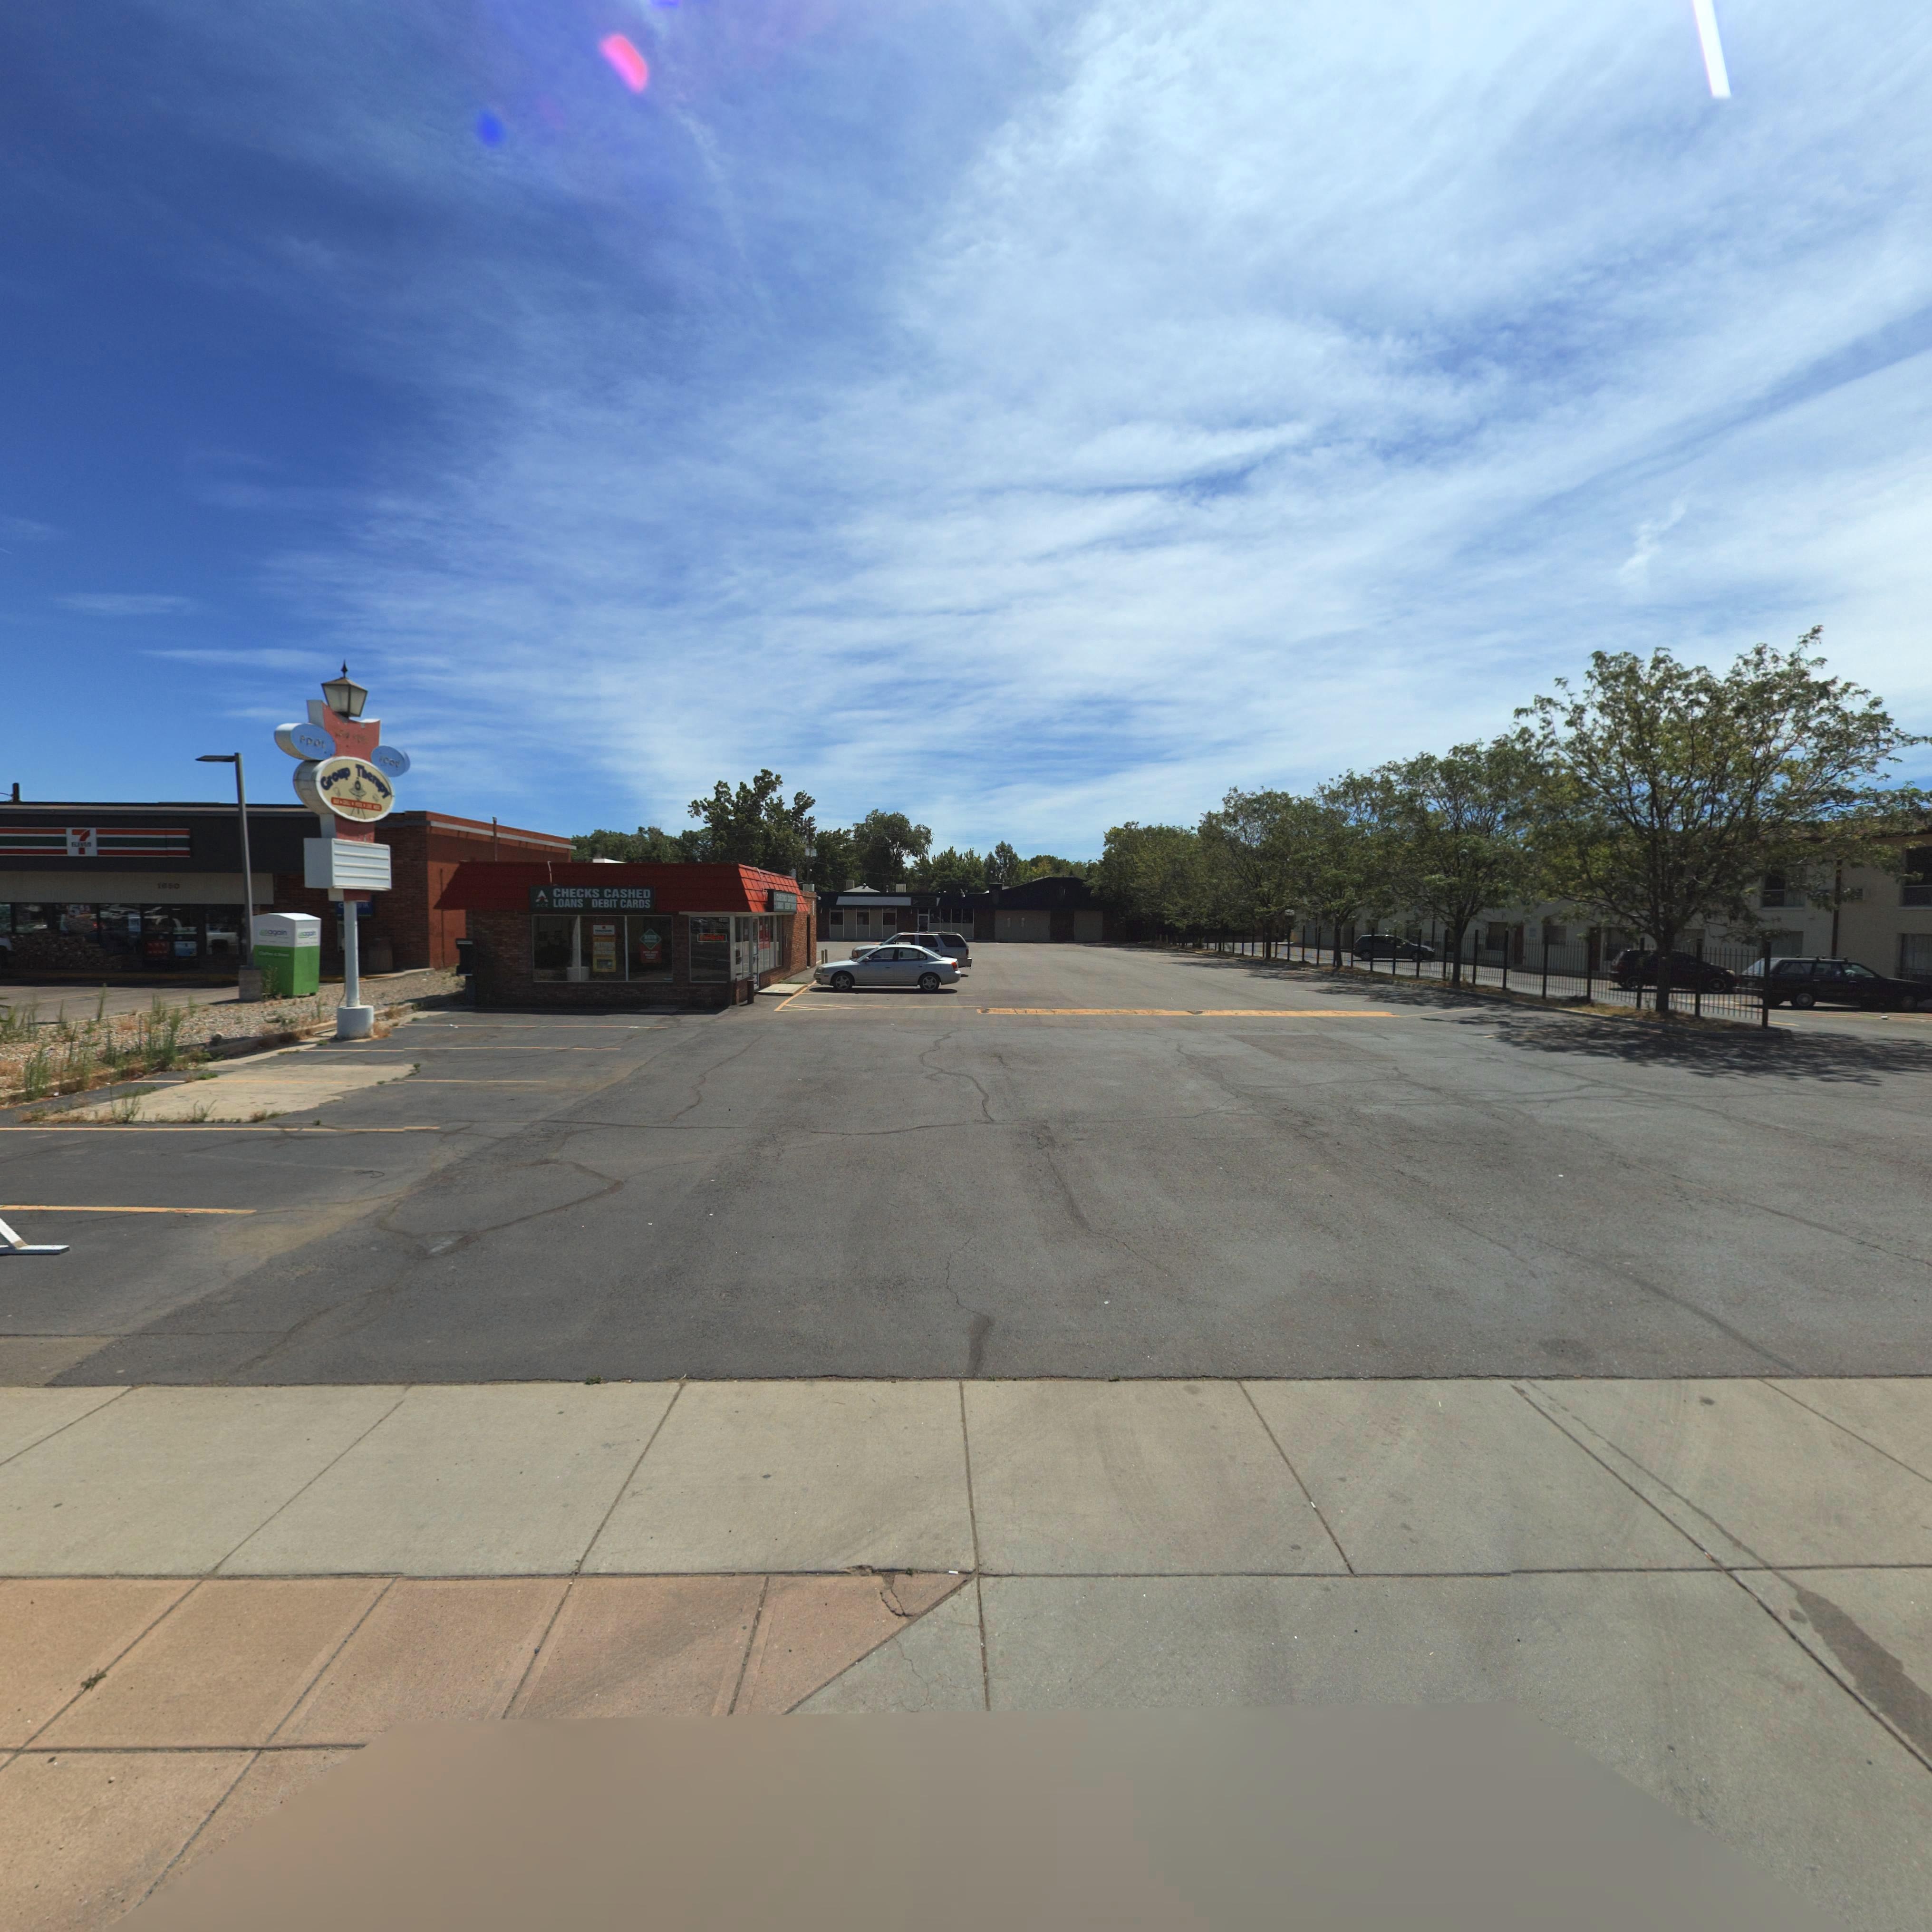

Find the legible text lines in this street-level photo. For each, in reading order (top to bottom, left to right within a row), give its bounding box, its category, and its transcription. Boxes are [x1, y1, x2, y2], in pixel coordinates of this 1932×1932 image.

[319, 763, 392, 800] BusinessName: Group Therapy
[70, 828, 90, 855] BusinessName: 7
[70, 841, 92, 847] BusinessName: ELEV*n
[157, 882, 181, 889] StreetNumber: 1650
[535, 903, 548, 908] BusinessName: *CE
[719, 918, 728, 922] StreetNumber: 1*4*